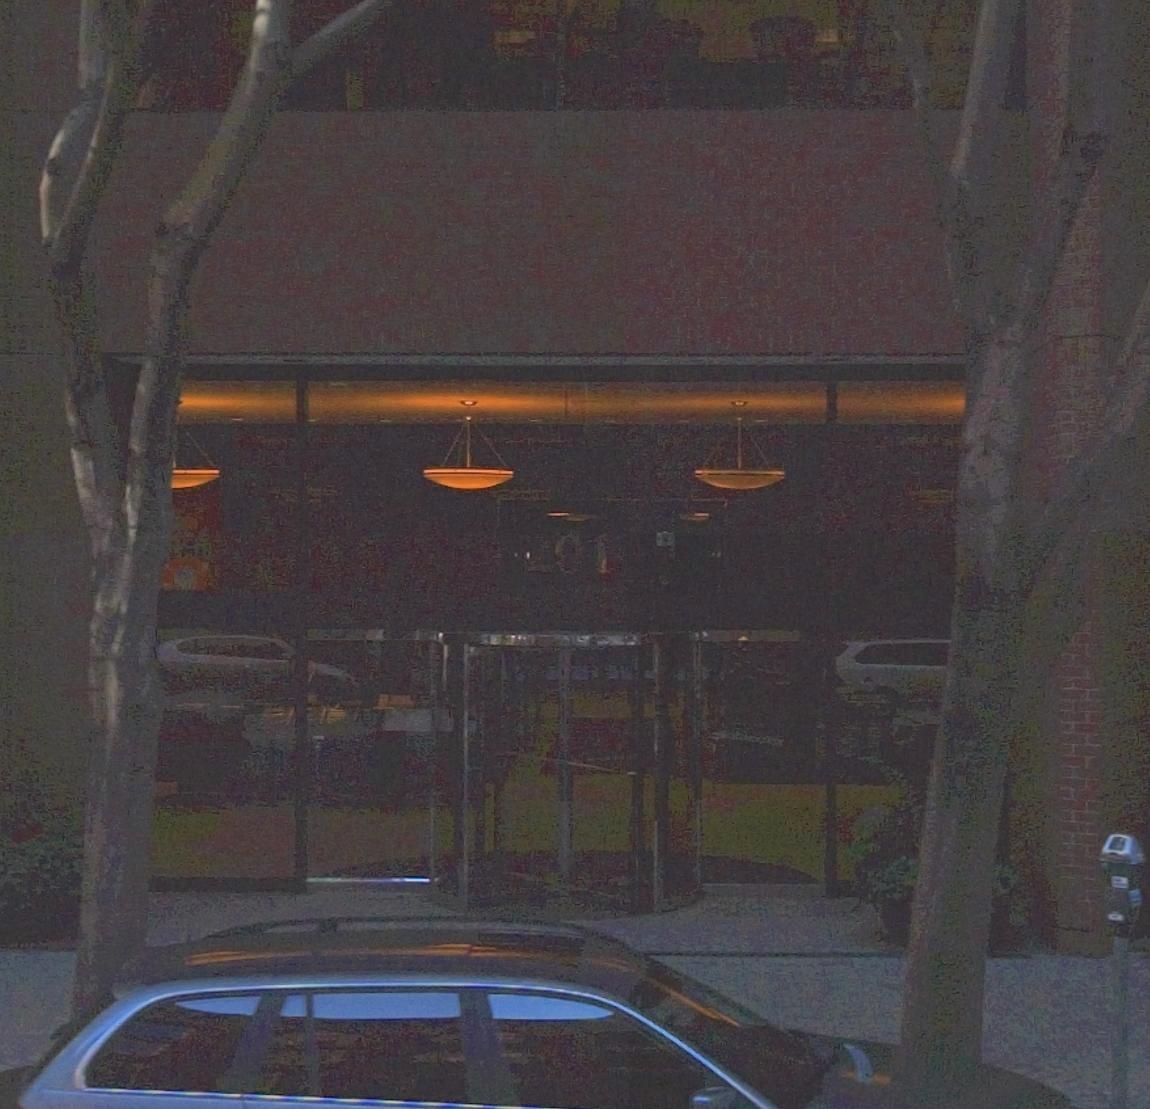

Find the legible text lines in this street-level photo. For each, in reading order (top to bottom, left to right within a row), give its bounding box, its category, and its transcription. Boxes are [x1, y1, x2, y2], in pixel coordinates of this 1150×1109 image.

[521, 528, 617, 576] StreetNumber: 201